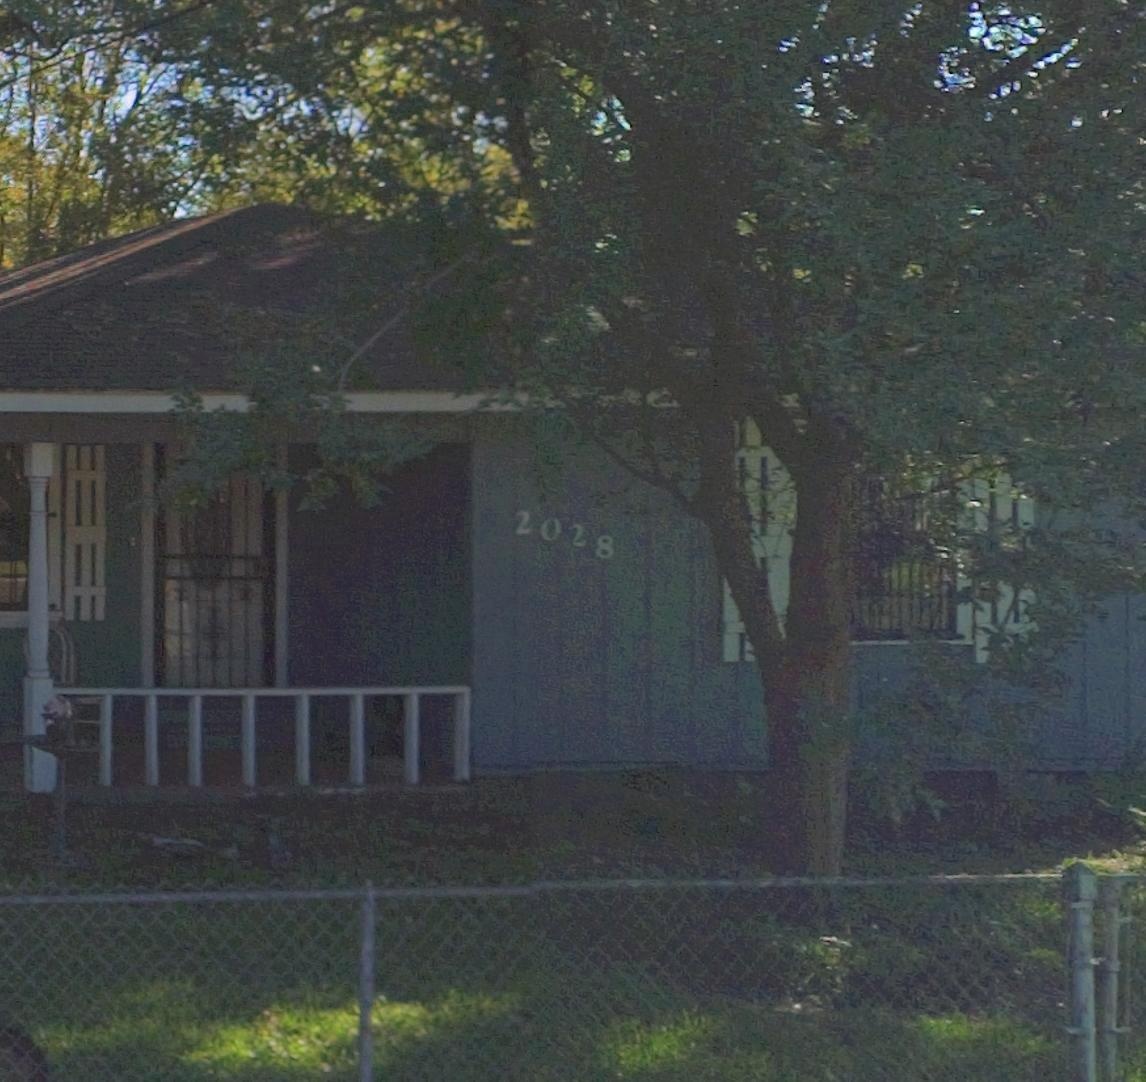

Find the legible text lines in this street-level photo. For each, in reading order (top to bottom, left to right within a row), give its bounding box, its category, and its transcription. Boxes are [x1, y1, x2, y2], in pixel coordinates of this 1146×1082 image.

[512, 507, 622, 562] StreetNumber: 2028